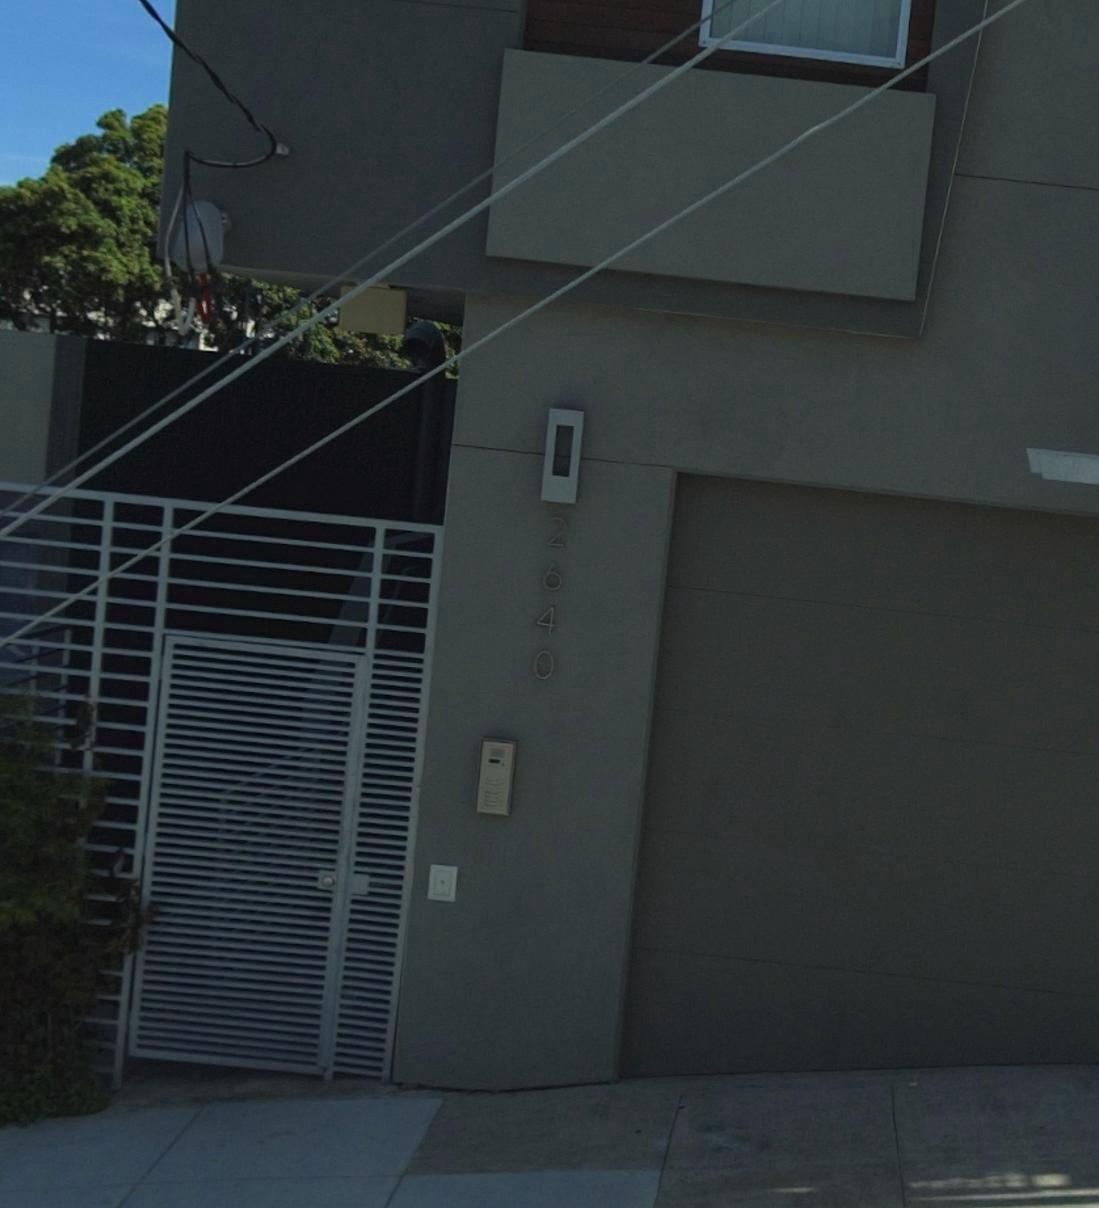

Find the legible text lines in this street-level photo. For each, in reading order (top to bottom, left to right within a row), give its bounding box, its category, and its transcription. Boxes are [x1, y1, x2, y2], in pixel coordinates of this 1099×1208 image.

[529, 514, 570, 685] StreetNumber: 2640